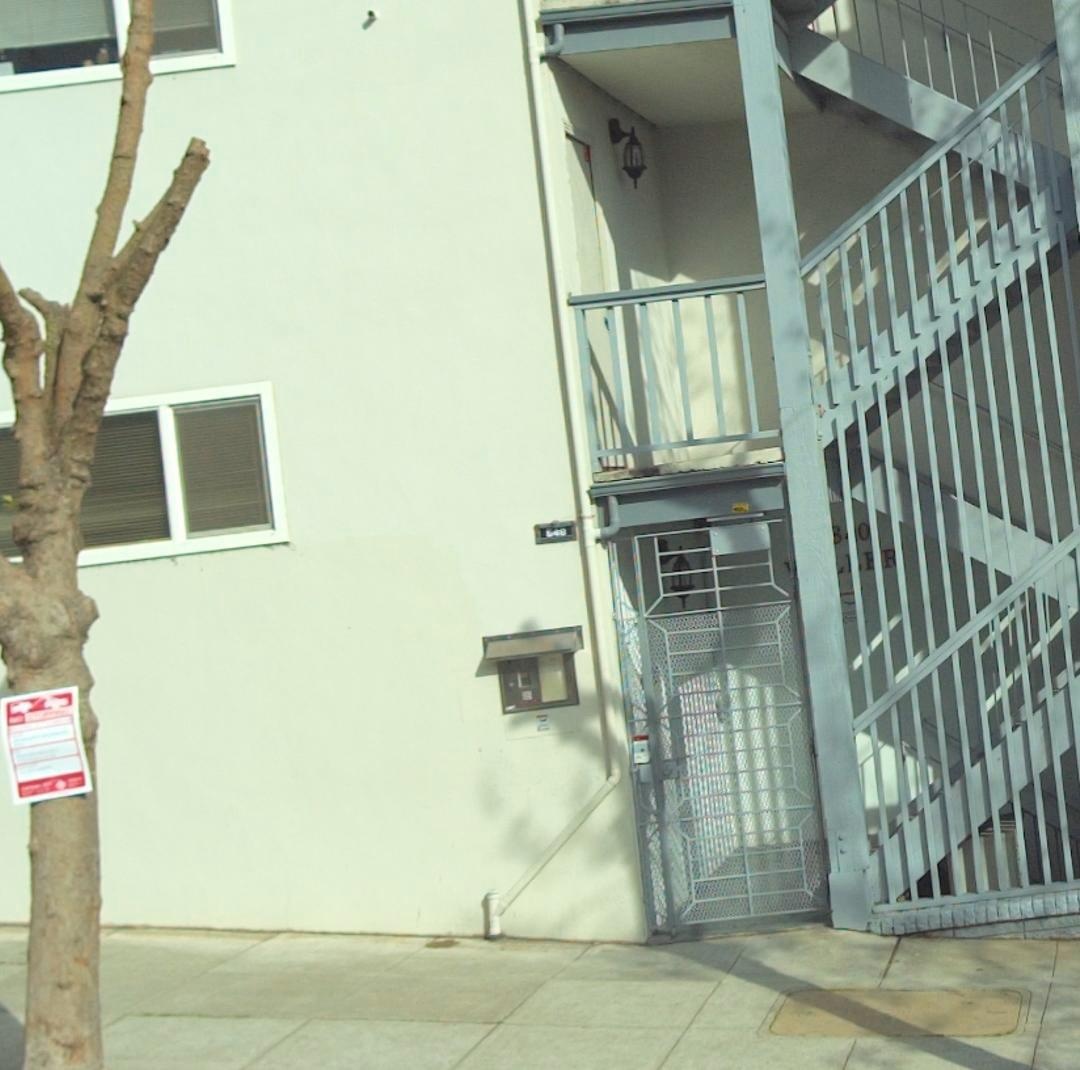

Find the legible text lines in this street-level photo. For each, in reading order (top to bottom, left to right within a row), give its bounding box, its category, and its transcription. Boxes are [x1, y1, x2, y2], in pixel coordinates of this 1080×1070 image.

[543, 526, 568, 539] StreetNumber: 640